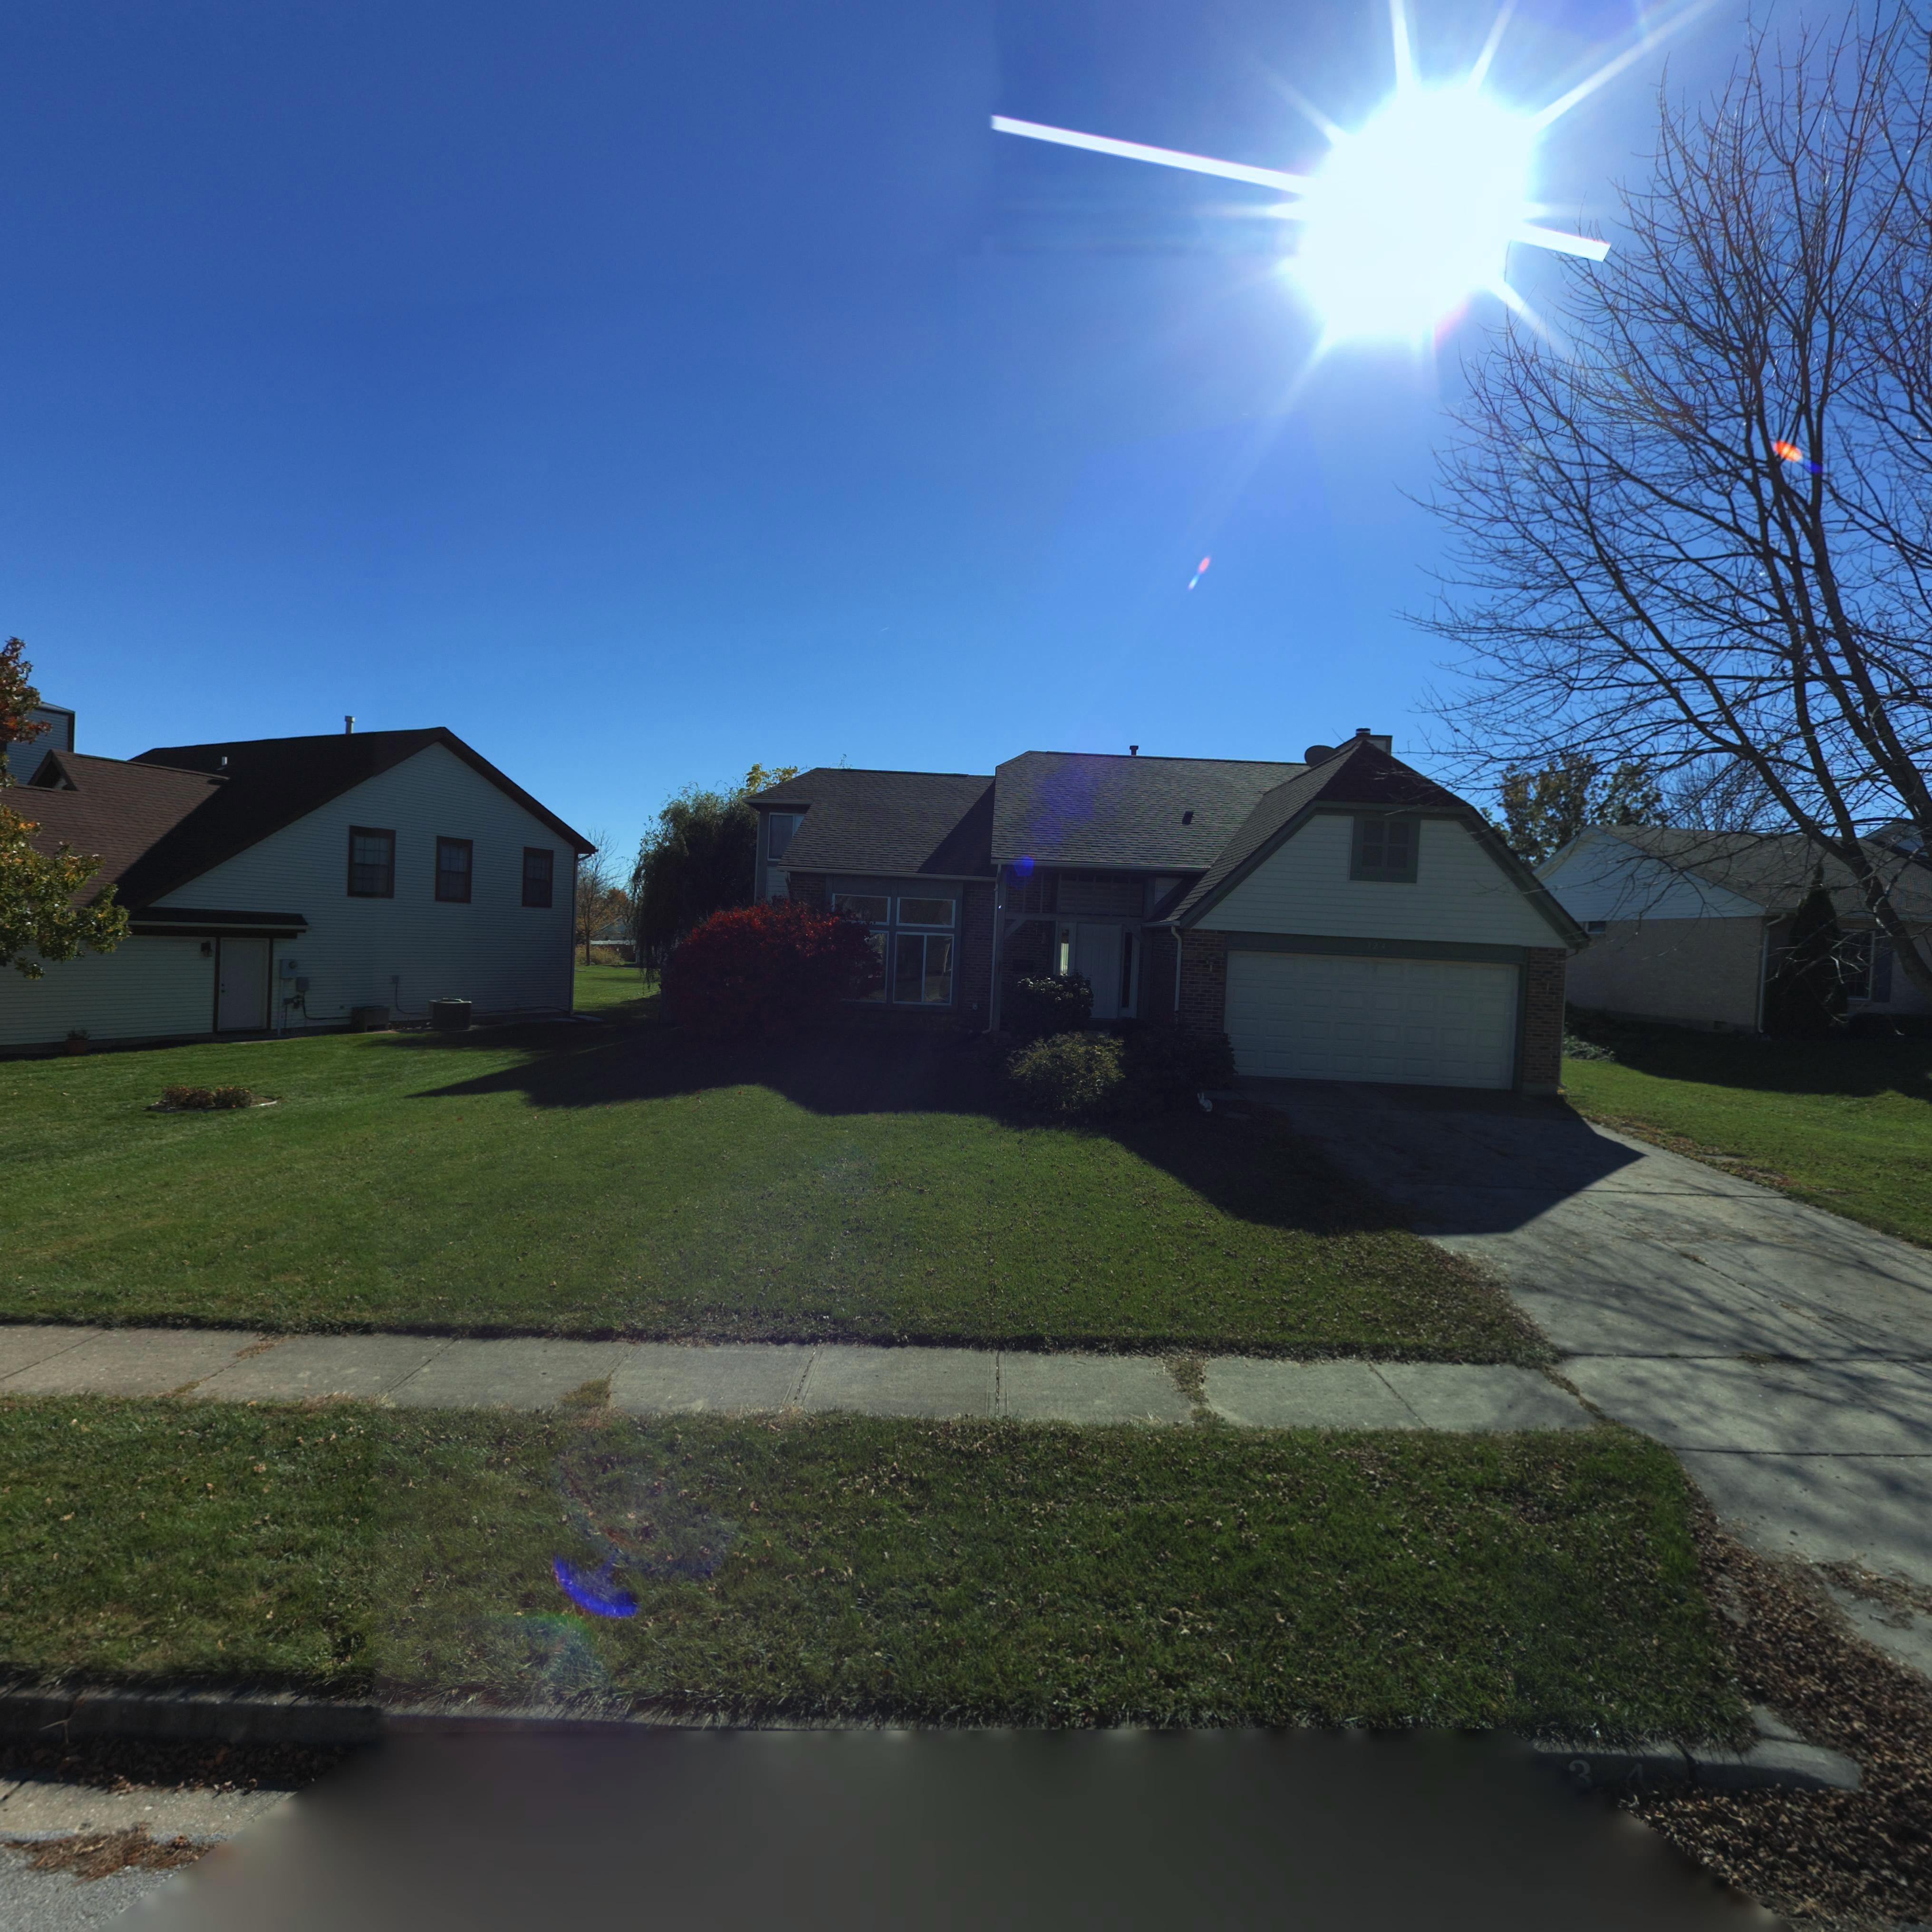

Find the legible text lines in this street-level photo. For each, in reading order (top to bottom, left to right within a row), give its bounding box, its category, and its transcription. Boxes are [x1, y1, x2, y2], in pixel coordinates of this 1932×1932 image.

[1365, 941, 1387, 951] StreetNumber: *2*